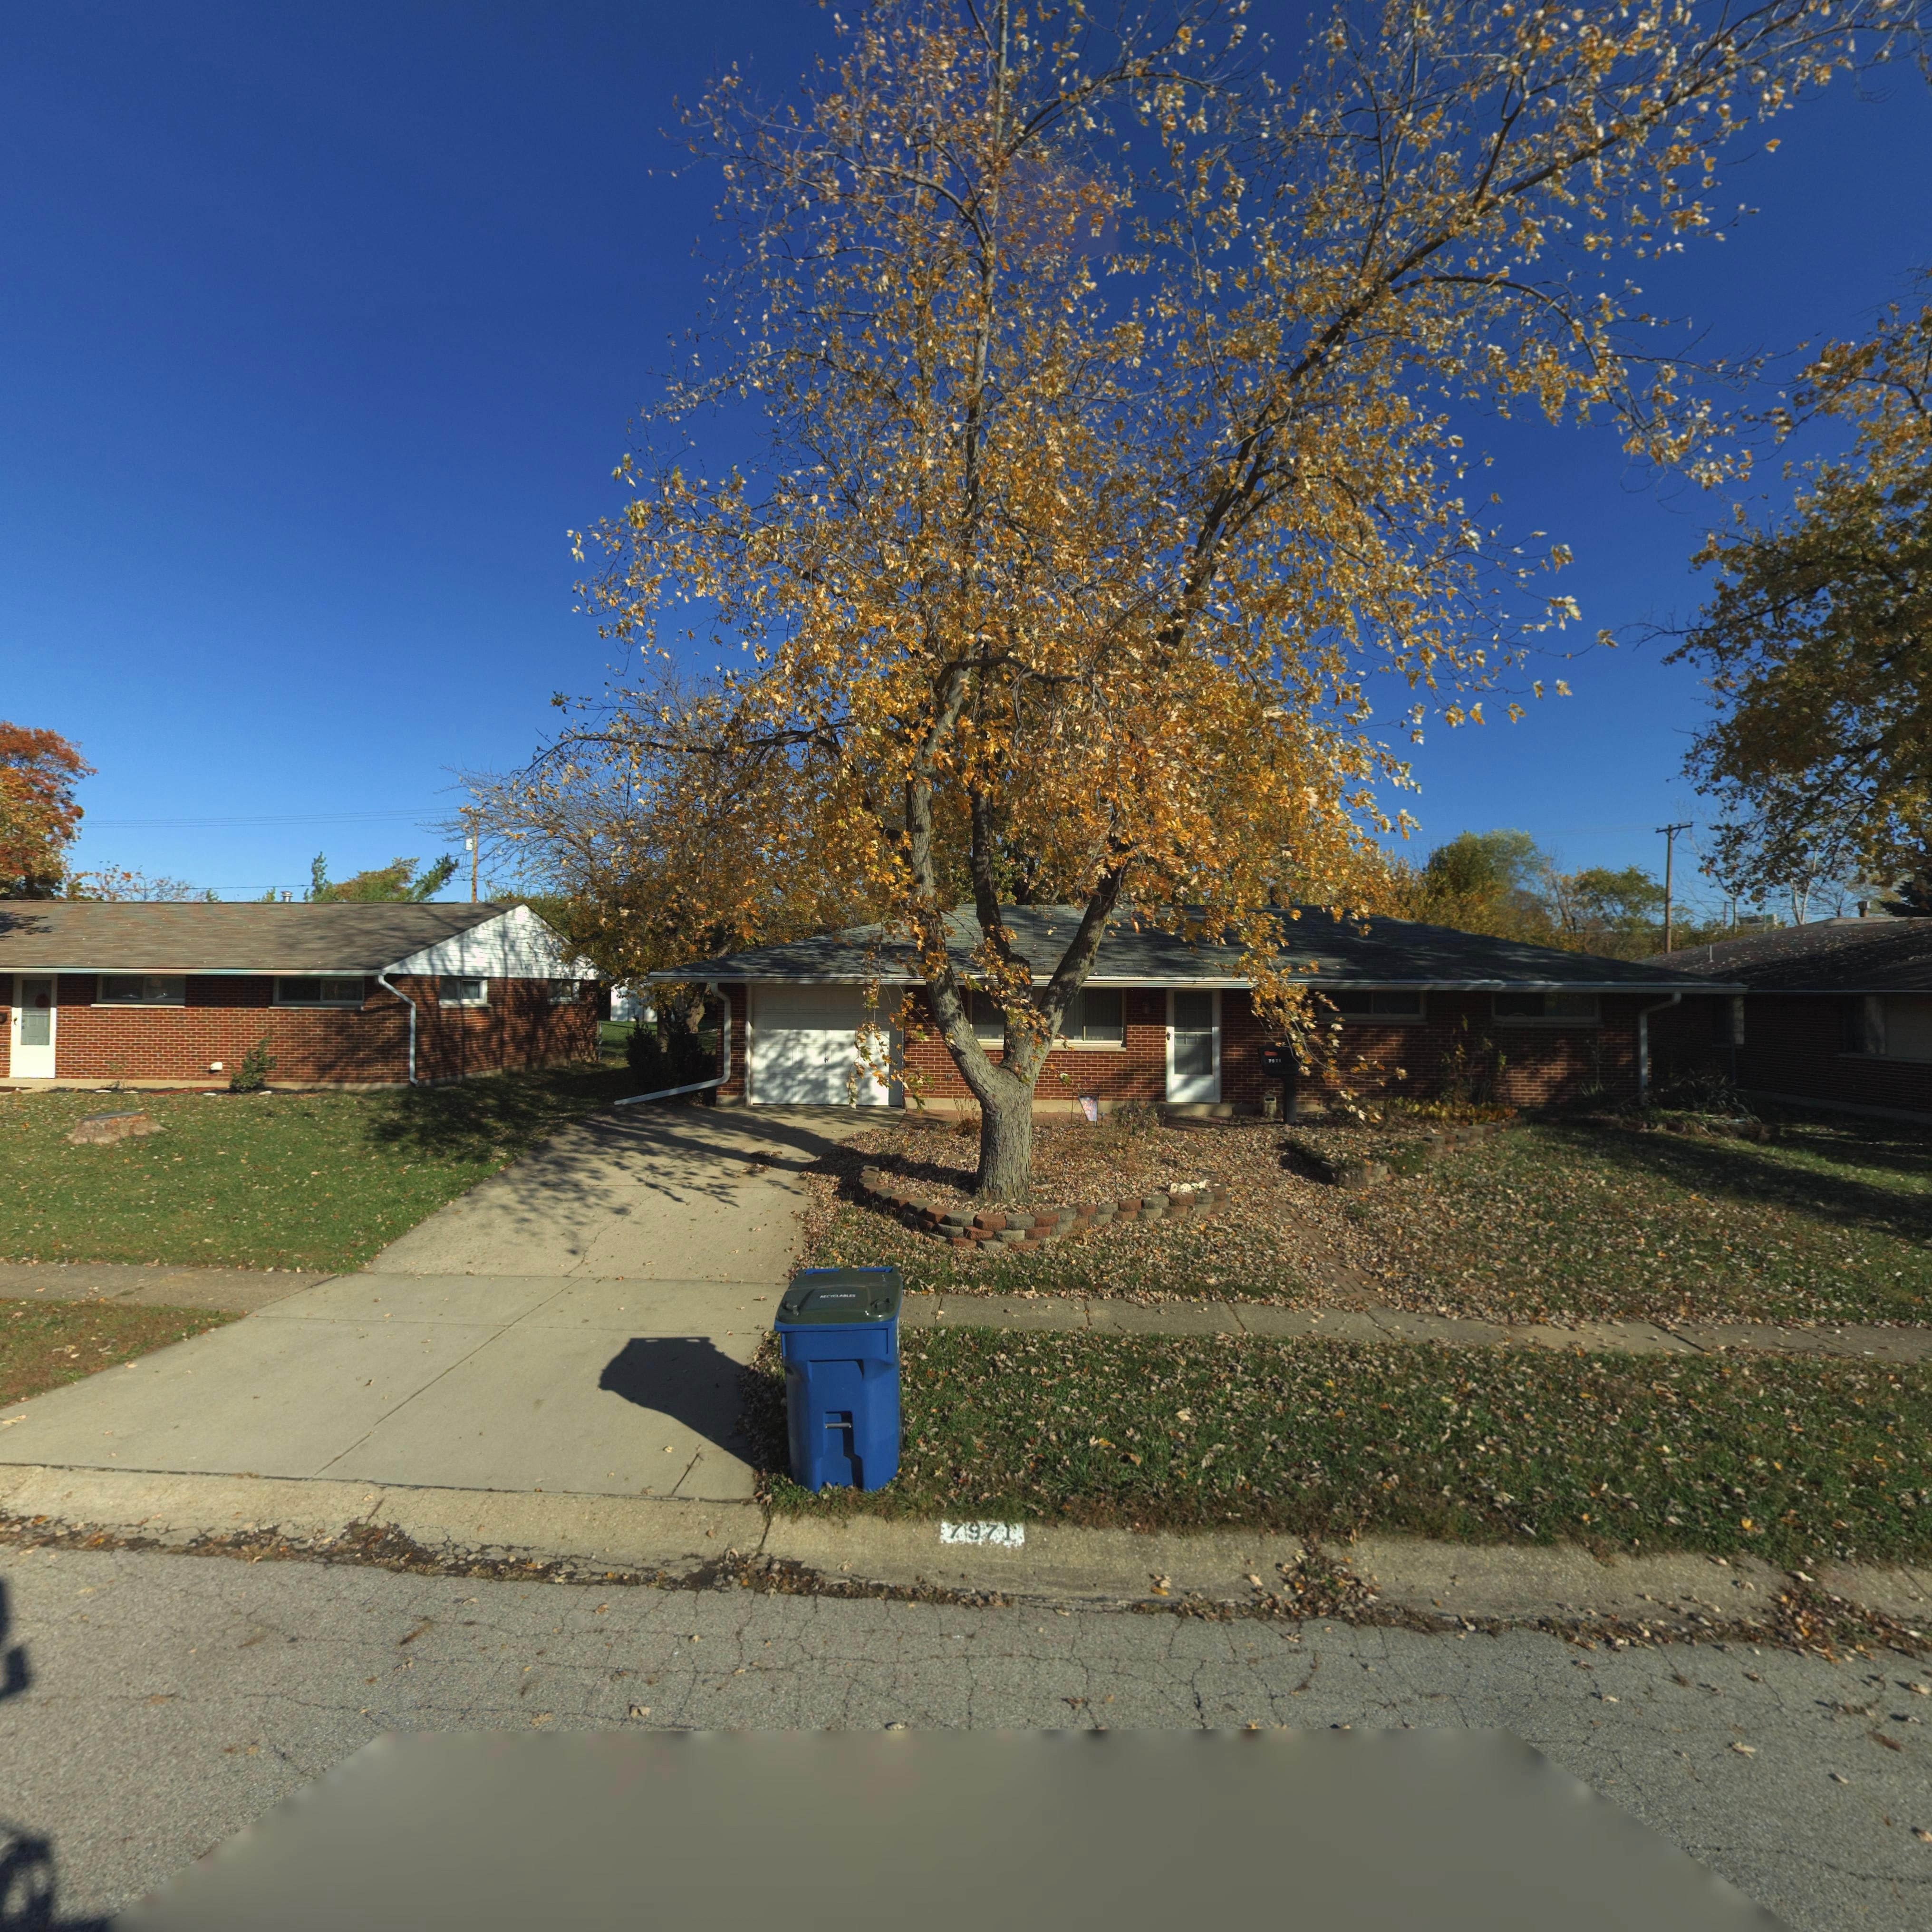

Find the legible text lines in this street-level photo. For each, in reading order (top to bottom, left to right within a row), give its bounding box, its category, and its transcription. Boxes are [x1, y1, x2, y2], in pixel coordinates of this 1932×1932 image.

[1266, 1058, 1282, 1064] StreetNumber: 7*71
[947, 1521, 1014, 1542] StreetNumber: 7971